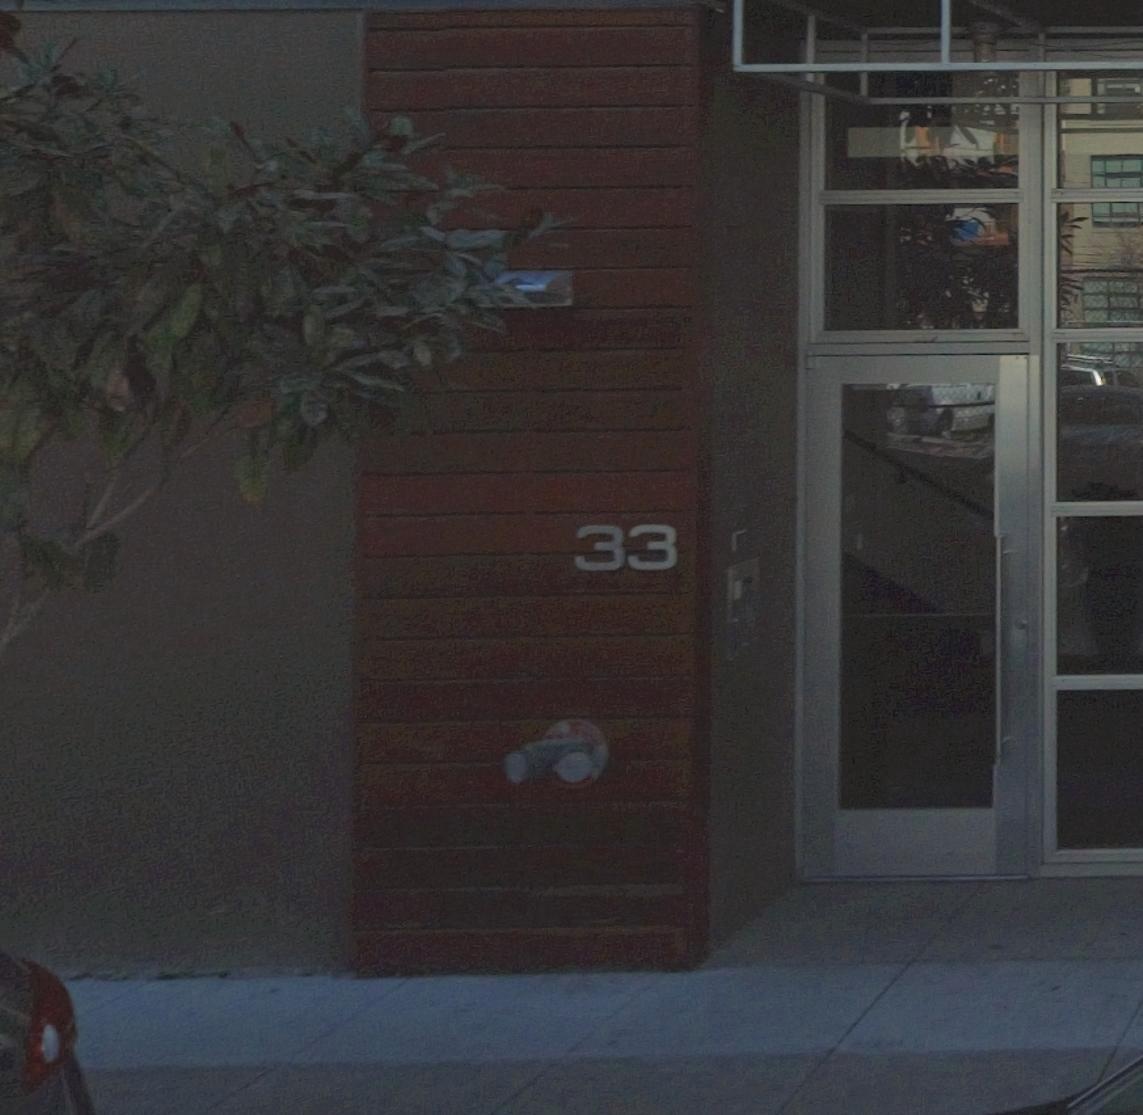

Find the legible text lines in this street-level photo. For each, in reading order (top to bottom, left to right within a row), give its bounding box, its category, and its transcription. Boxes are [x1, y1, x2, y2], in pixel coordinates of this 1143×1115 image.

[573, 523, 679, 573] StreetNumber: 33